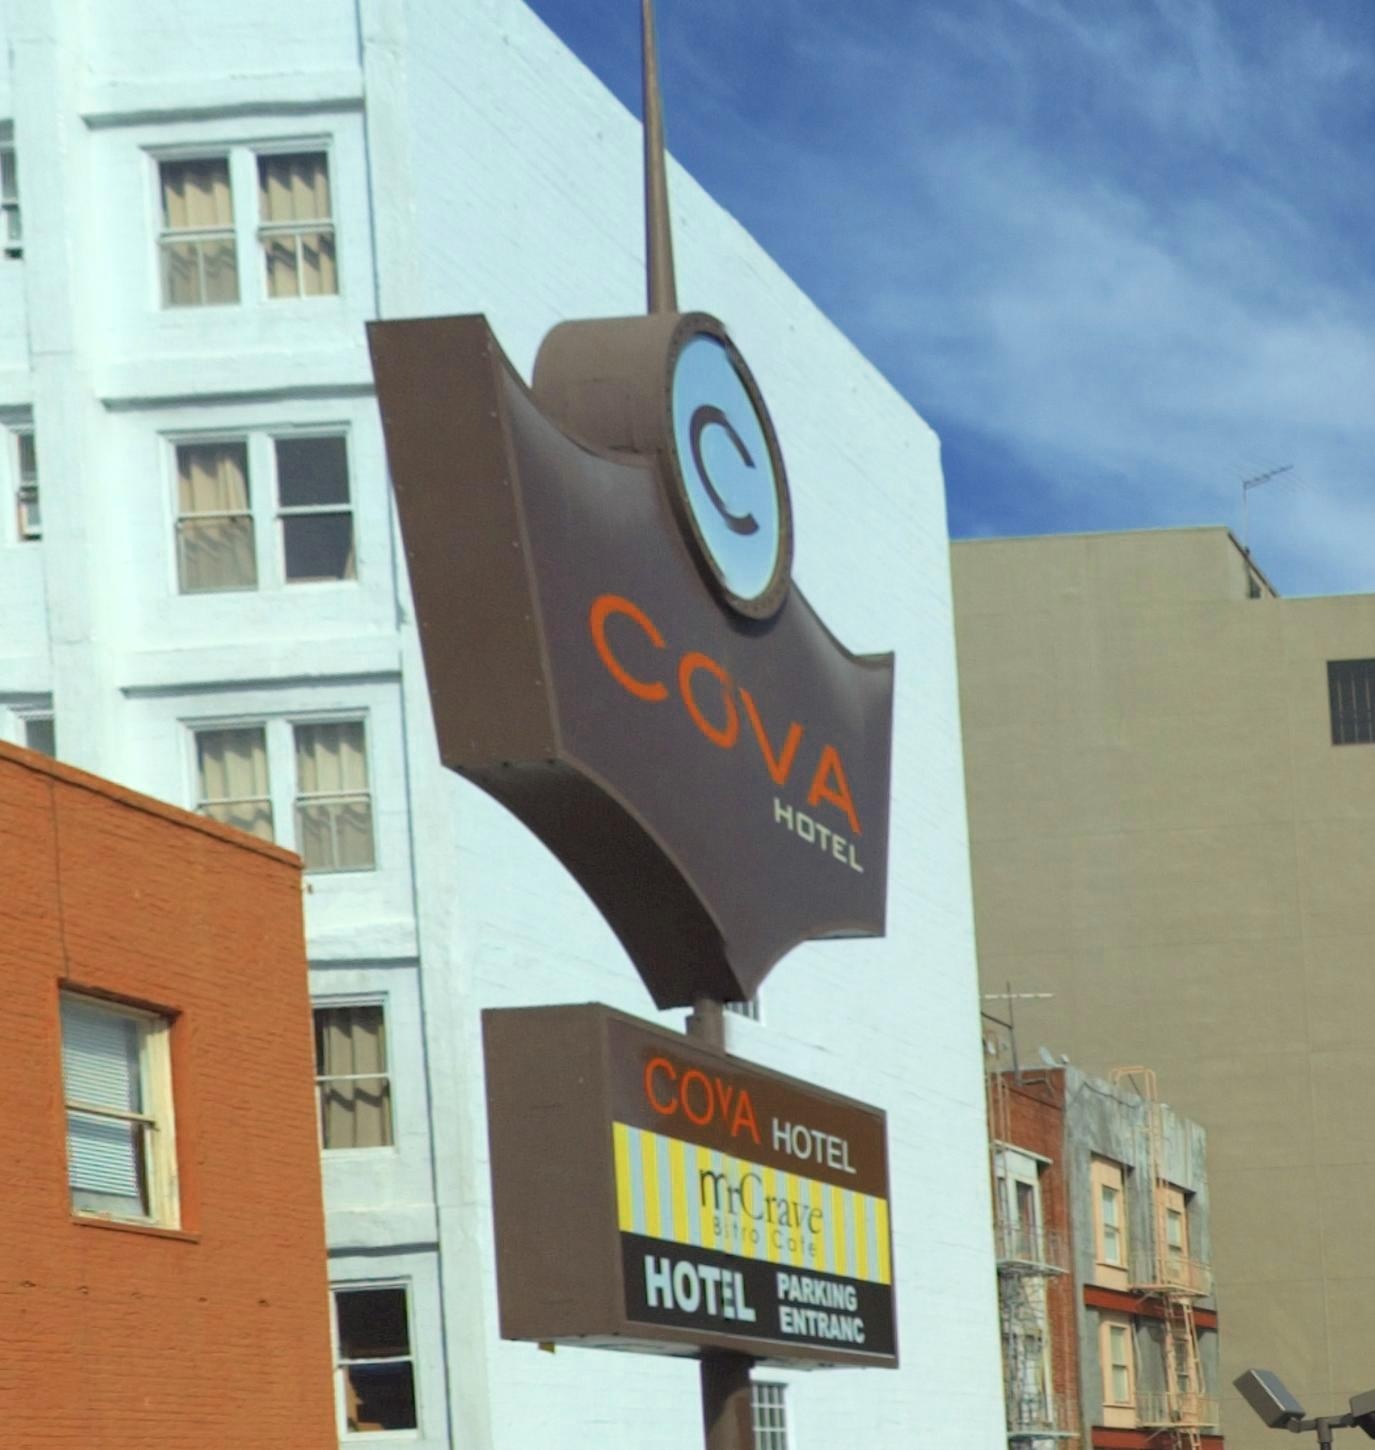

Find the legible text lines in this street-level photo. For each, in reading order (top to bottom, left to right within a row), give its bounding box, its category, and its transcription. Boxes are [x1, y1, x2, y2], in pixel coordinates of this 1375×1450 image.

[583, 567, 868, 848] BusinessName: C*VA
[771, 795, 869, 880] BusinessName: HOTEL
[640, 1050, 860, 1179] BusinessName: CO*A HOTEL
[695, 1164, 827, 1241] BusinessName: *rCrave
[711, 1213, 821, 1261] BusinessName: B**tro Cafe
[642, 1250, 760, 1326] None: HOT*L
[774, 1267, 860, 1314] None: PARKING
[775, 1302, 867, 1347] None: ENTRANC